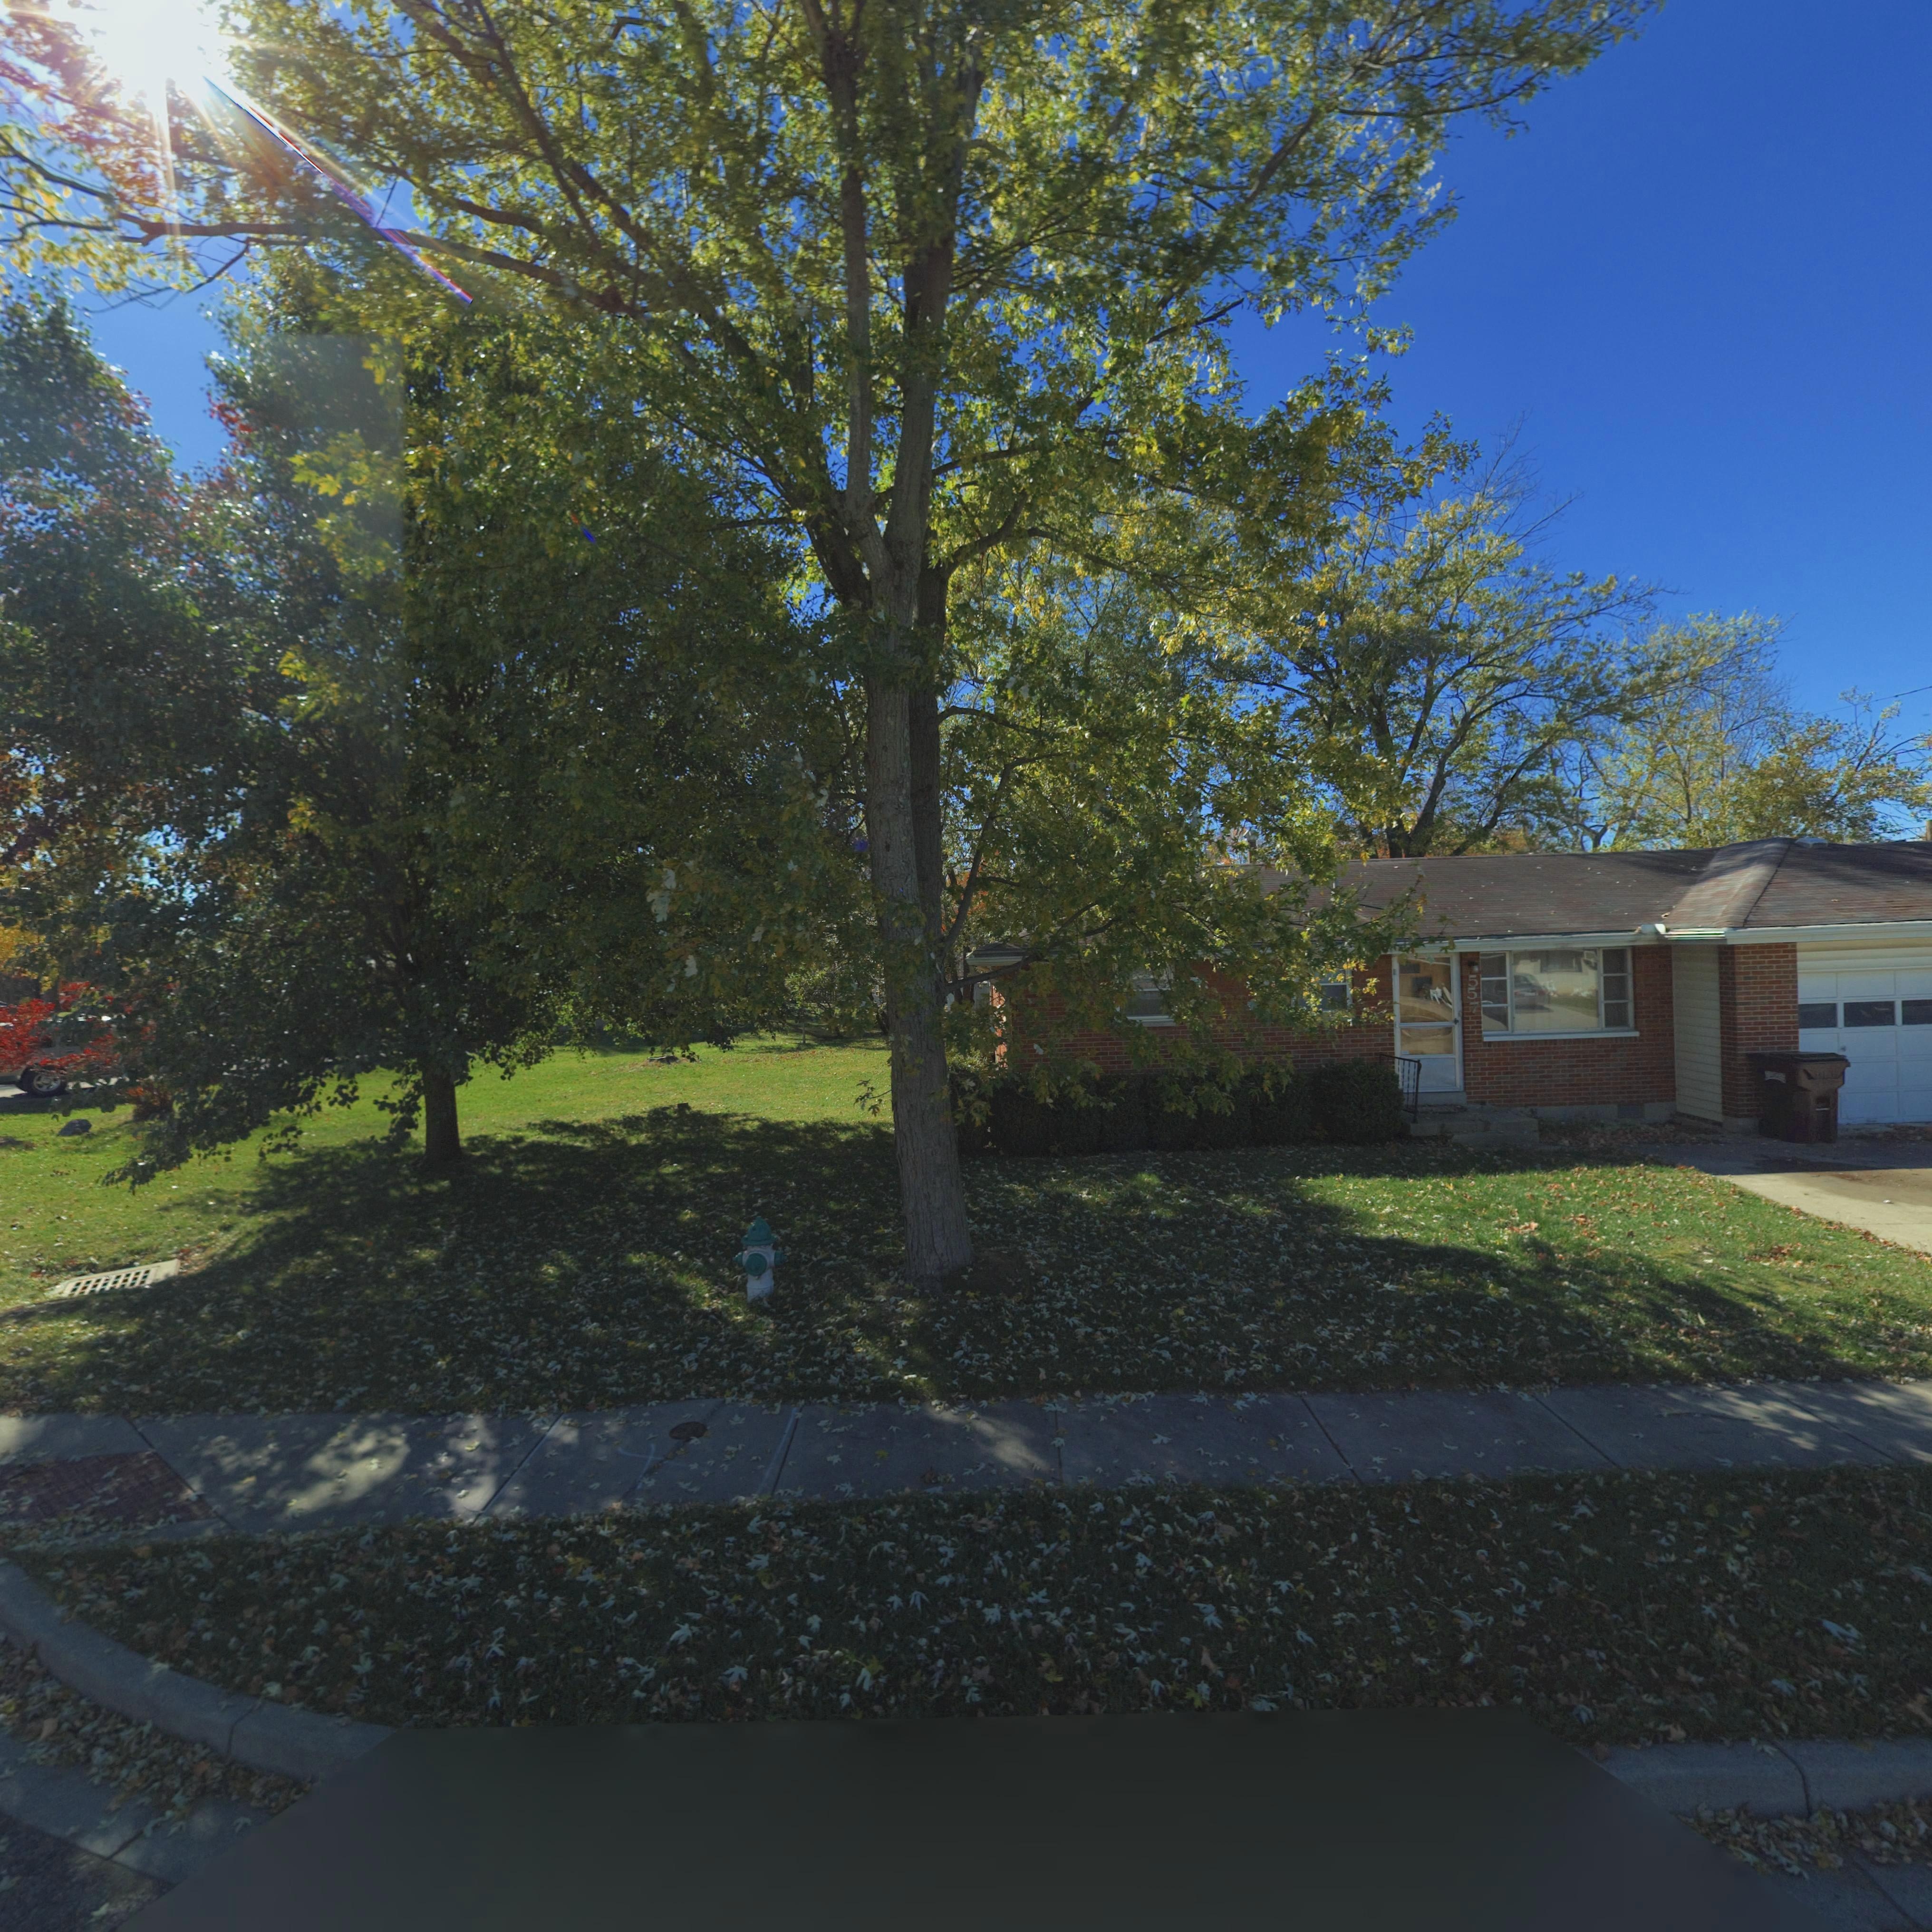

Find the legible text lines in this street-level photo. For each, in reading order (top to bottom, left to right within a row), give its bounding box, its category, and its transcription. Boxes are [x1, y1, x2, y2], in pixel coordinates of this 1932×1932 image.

[1467, 974, 1480, 1015] StreetNumber: 557